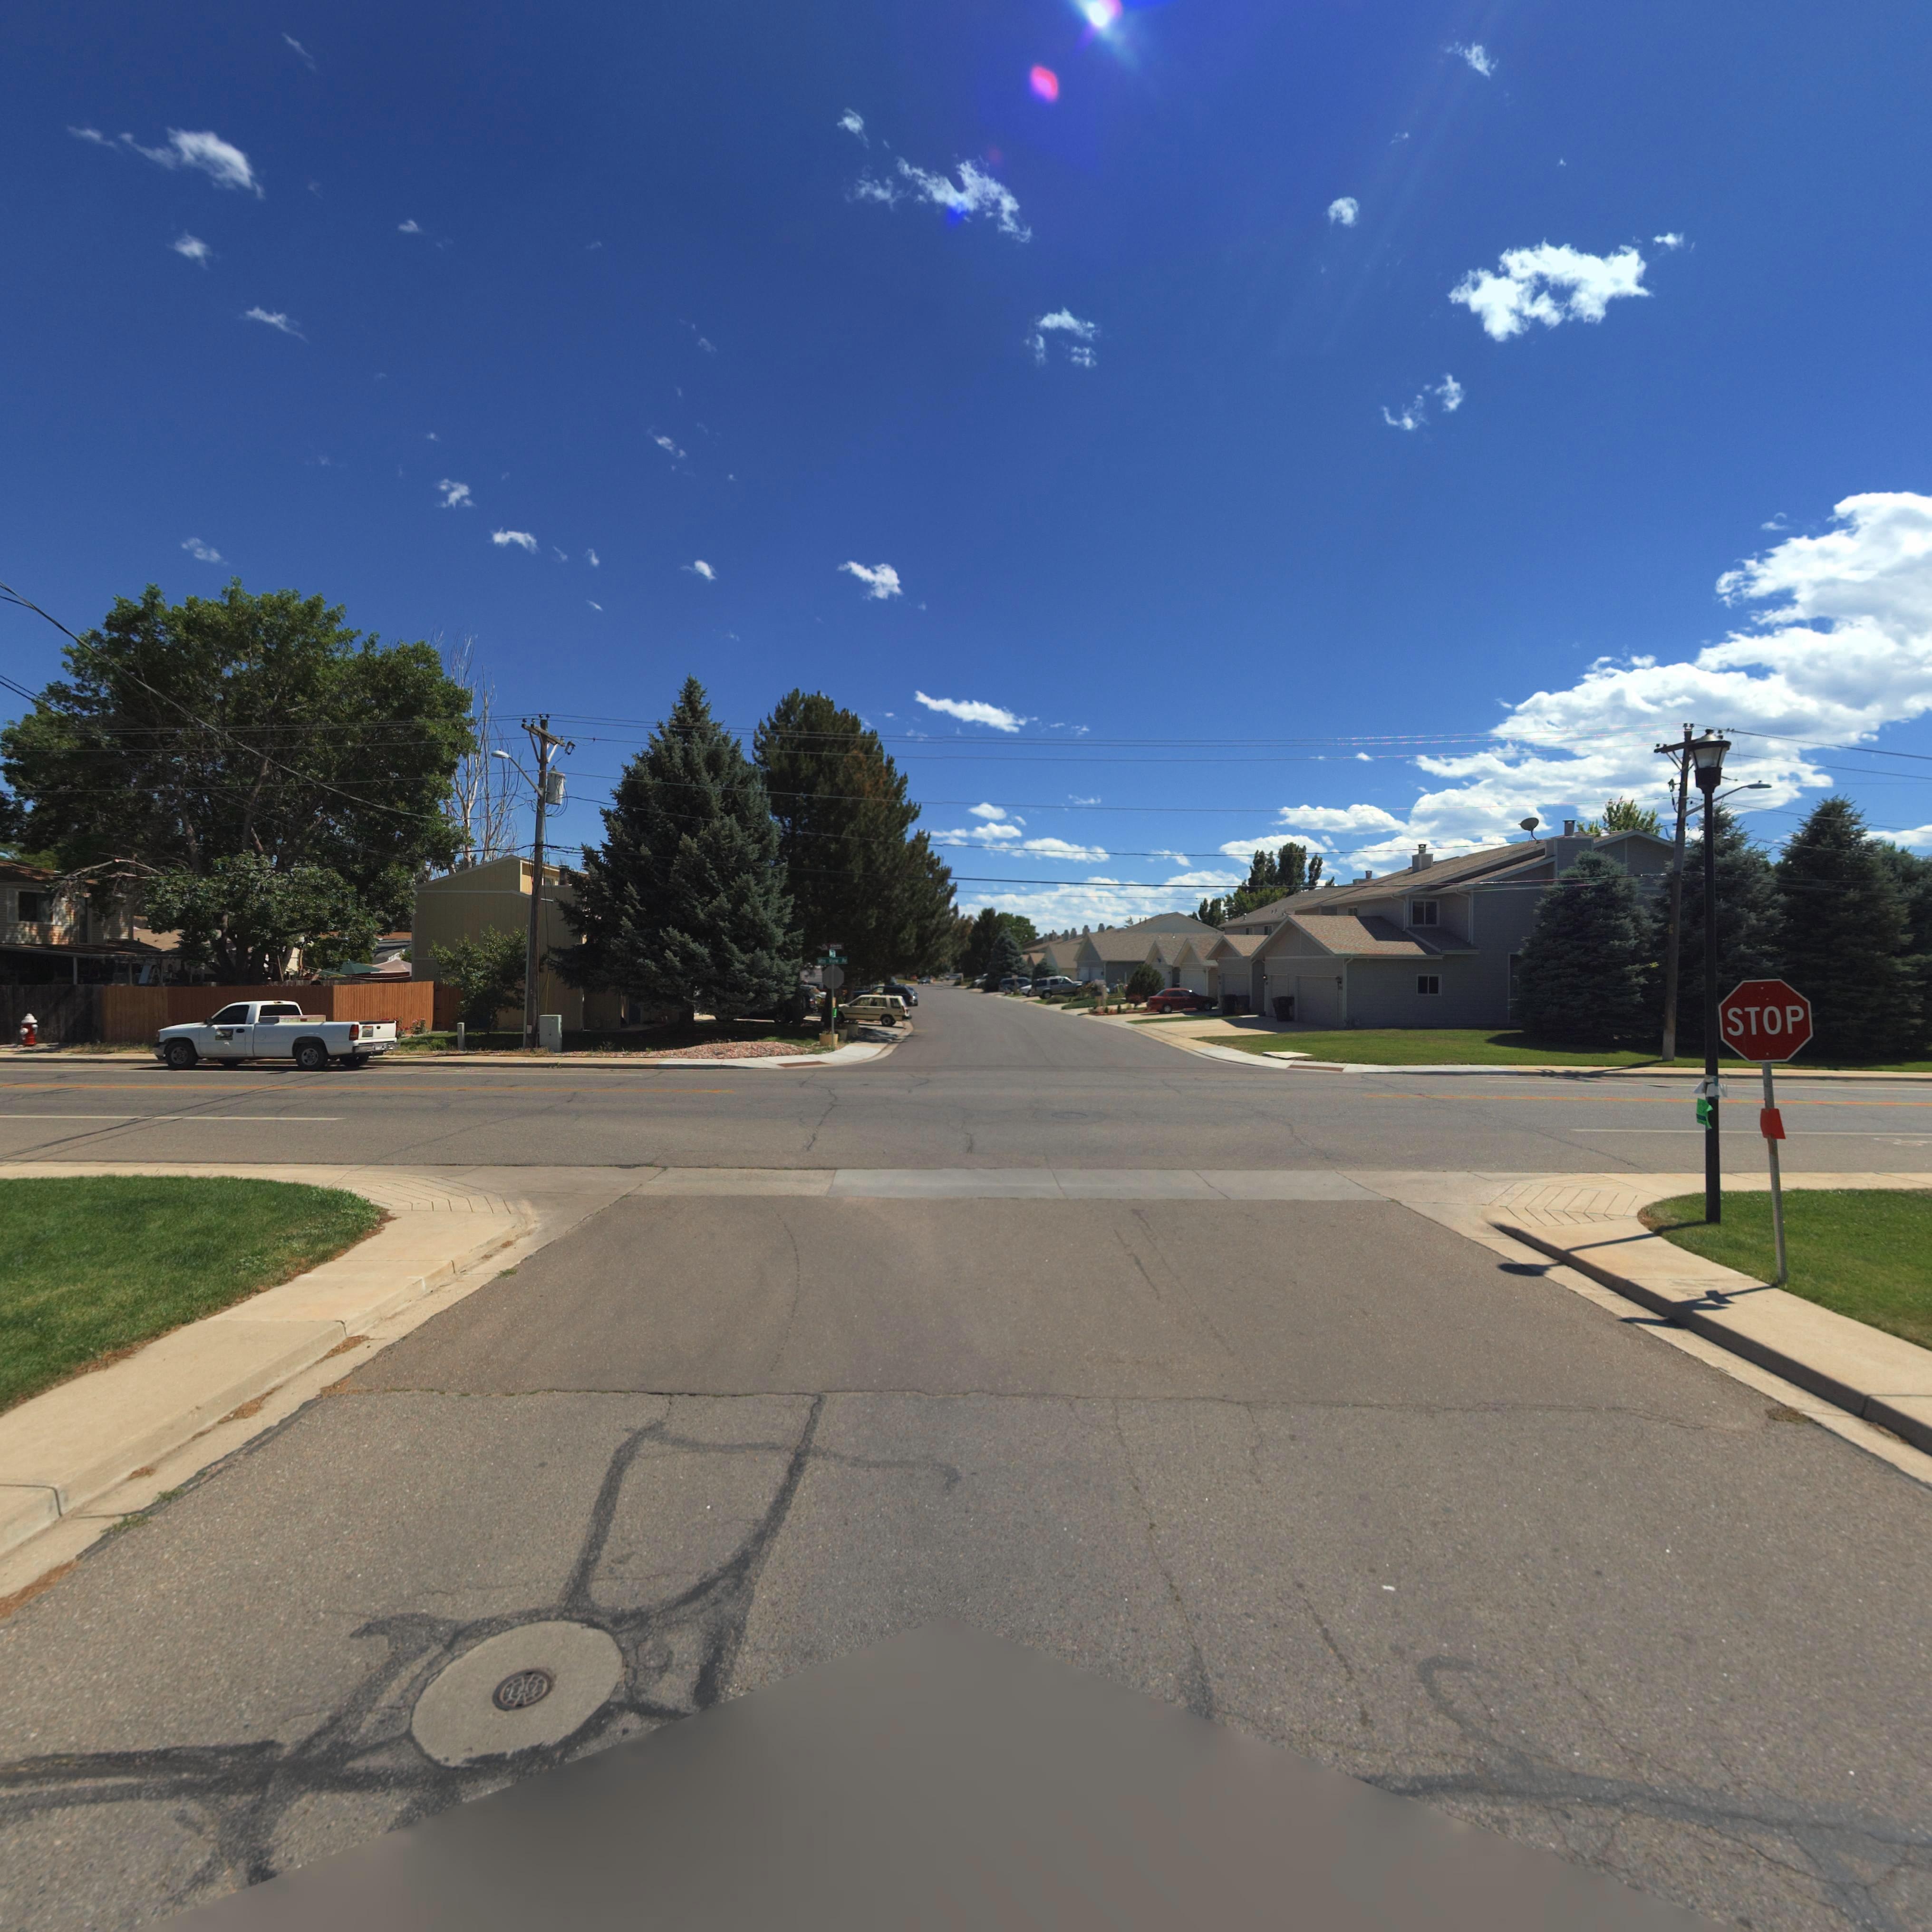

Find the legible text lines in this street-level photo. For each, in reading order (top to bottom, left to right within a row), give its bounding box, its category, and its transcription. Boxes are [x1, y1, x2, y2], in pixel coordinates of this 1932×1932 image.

[818, 957, 847, 964] StreetName: M** V*** A*